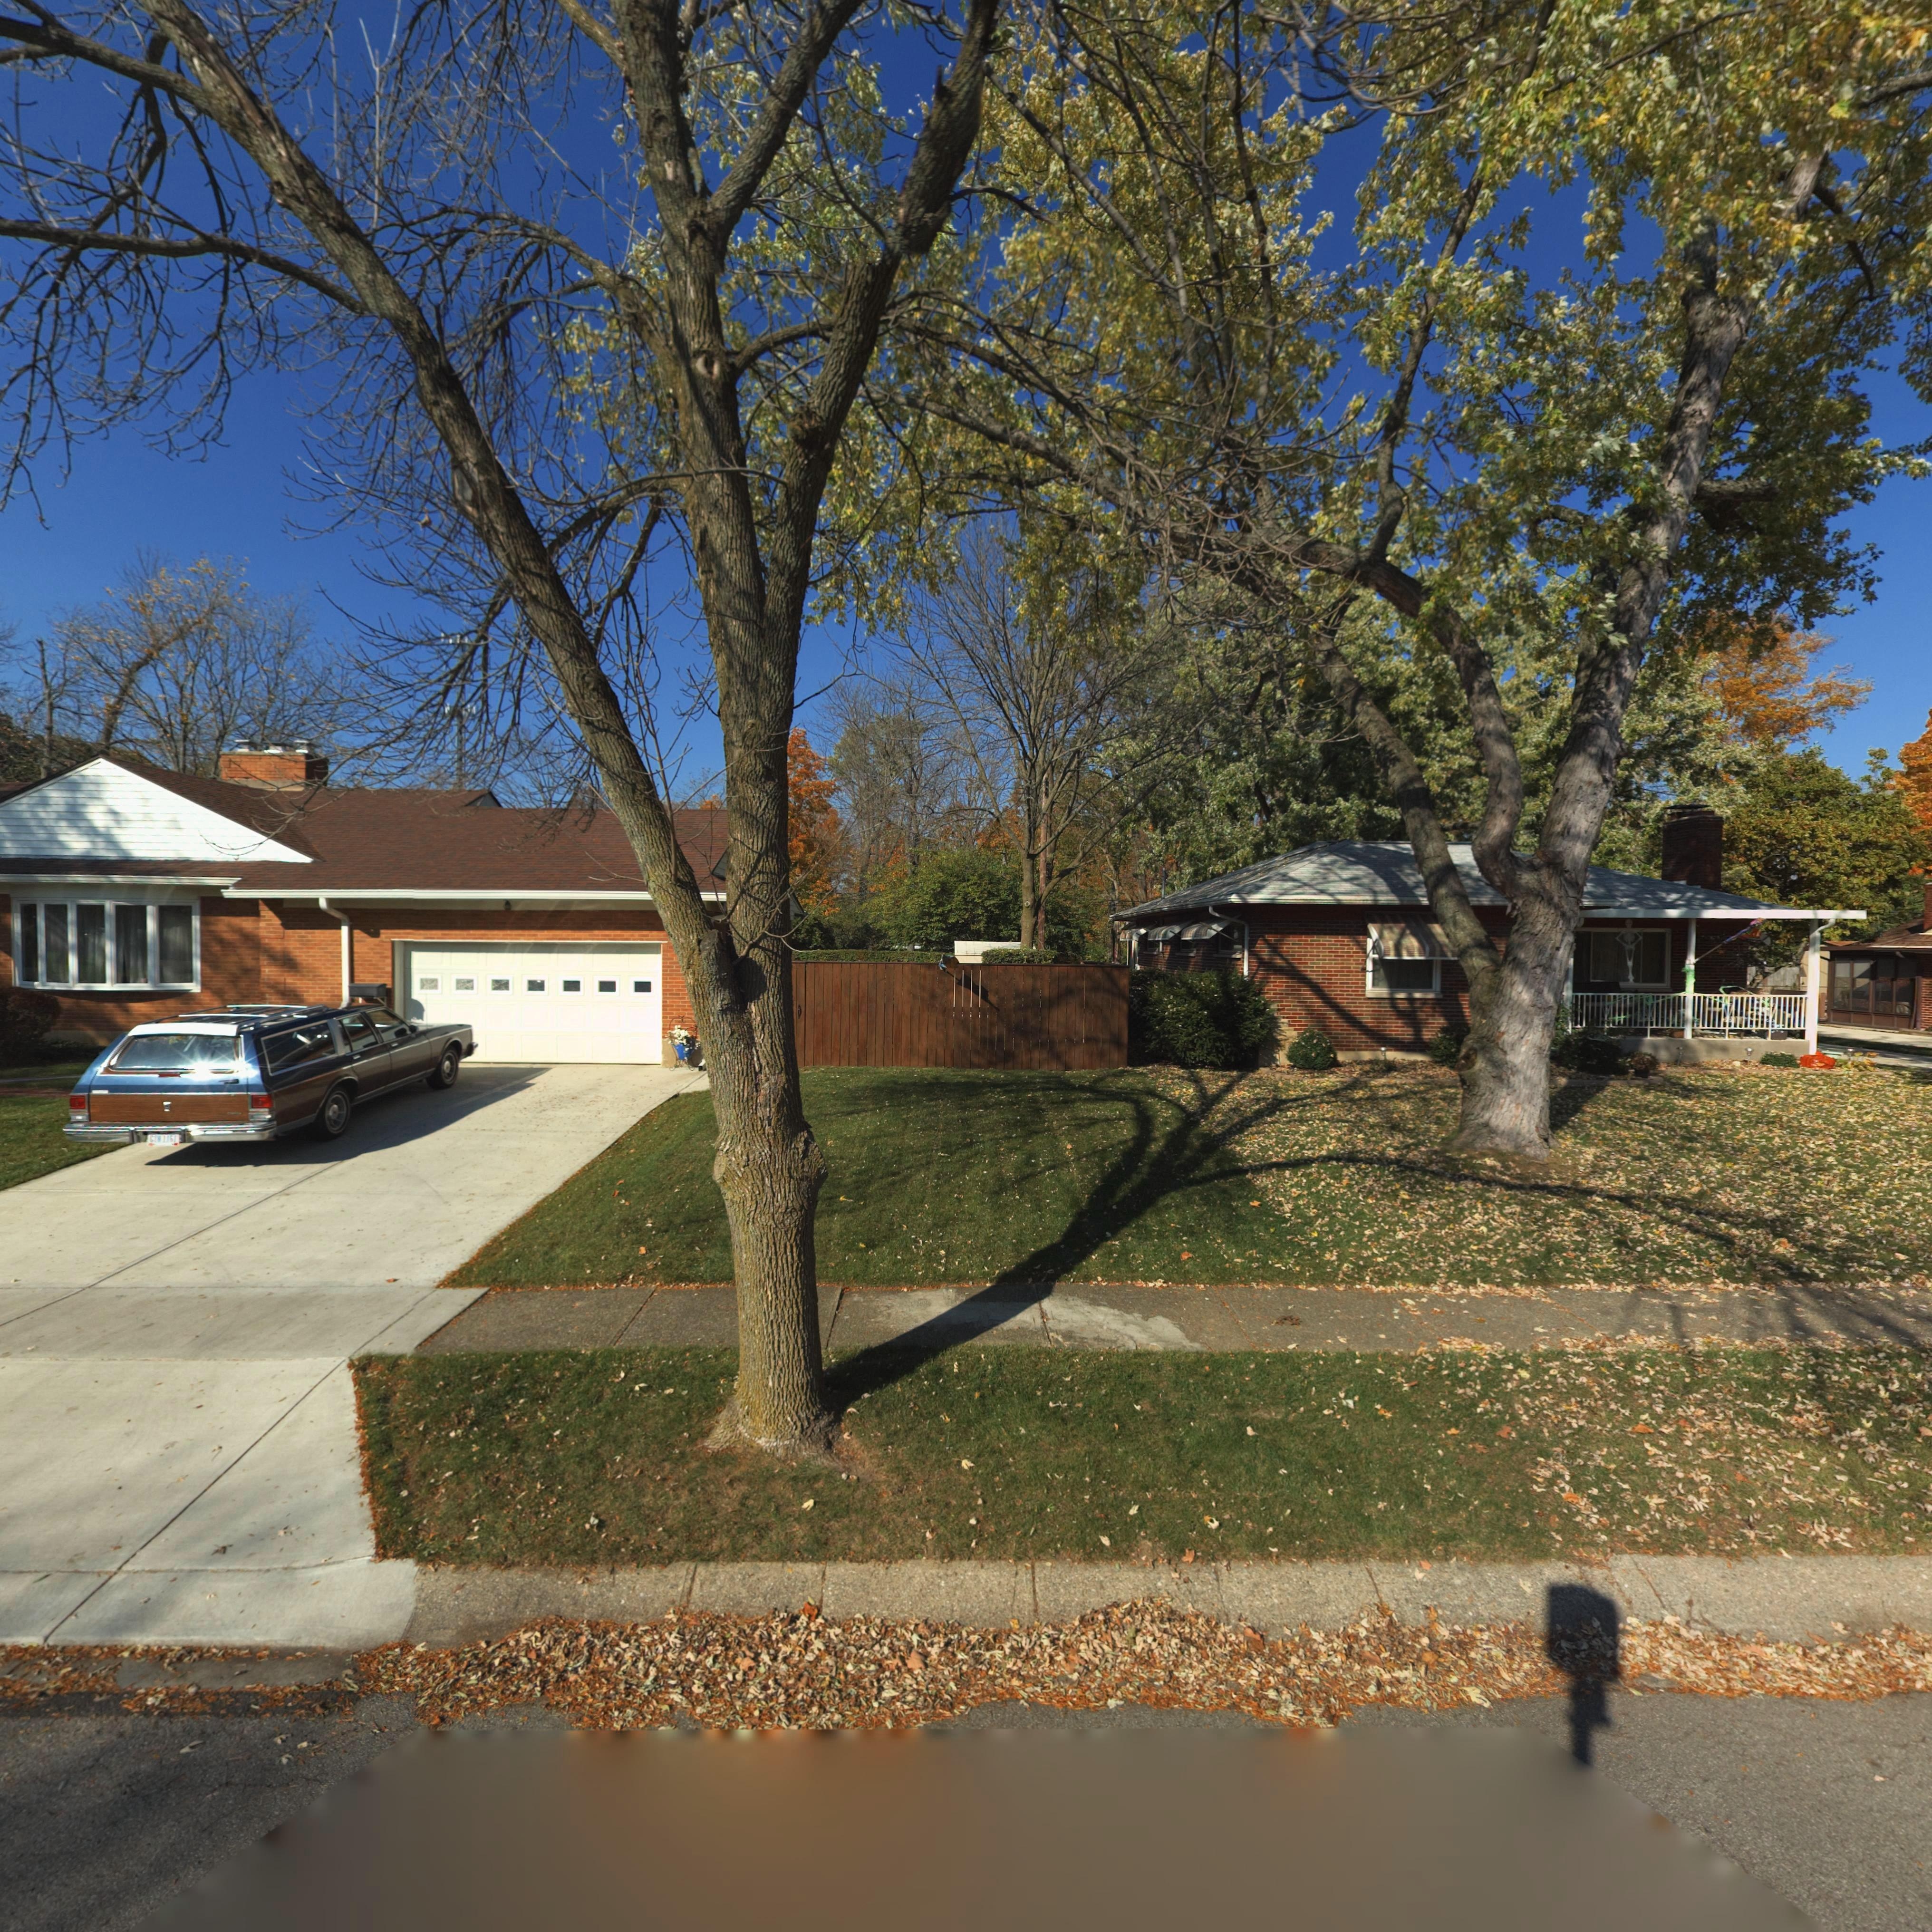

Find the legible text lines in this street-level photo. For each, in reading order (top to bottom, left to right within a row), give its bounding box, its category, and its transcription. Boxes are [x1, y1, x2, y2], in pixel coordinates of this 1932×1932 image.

[149, 1135, 177, 1143] None: G*H*1161